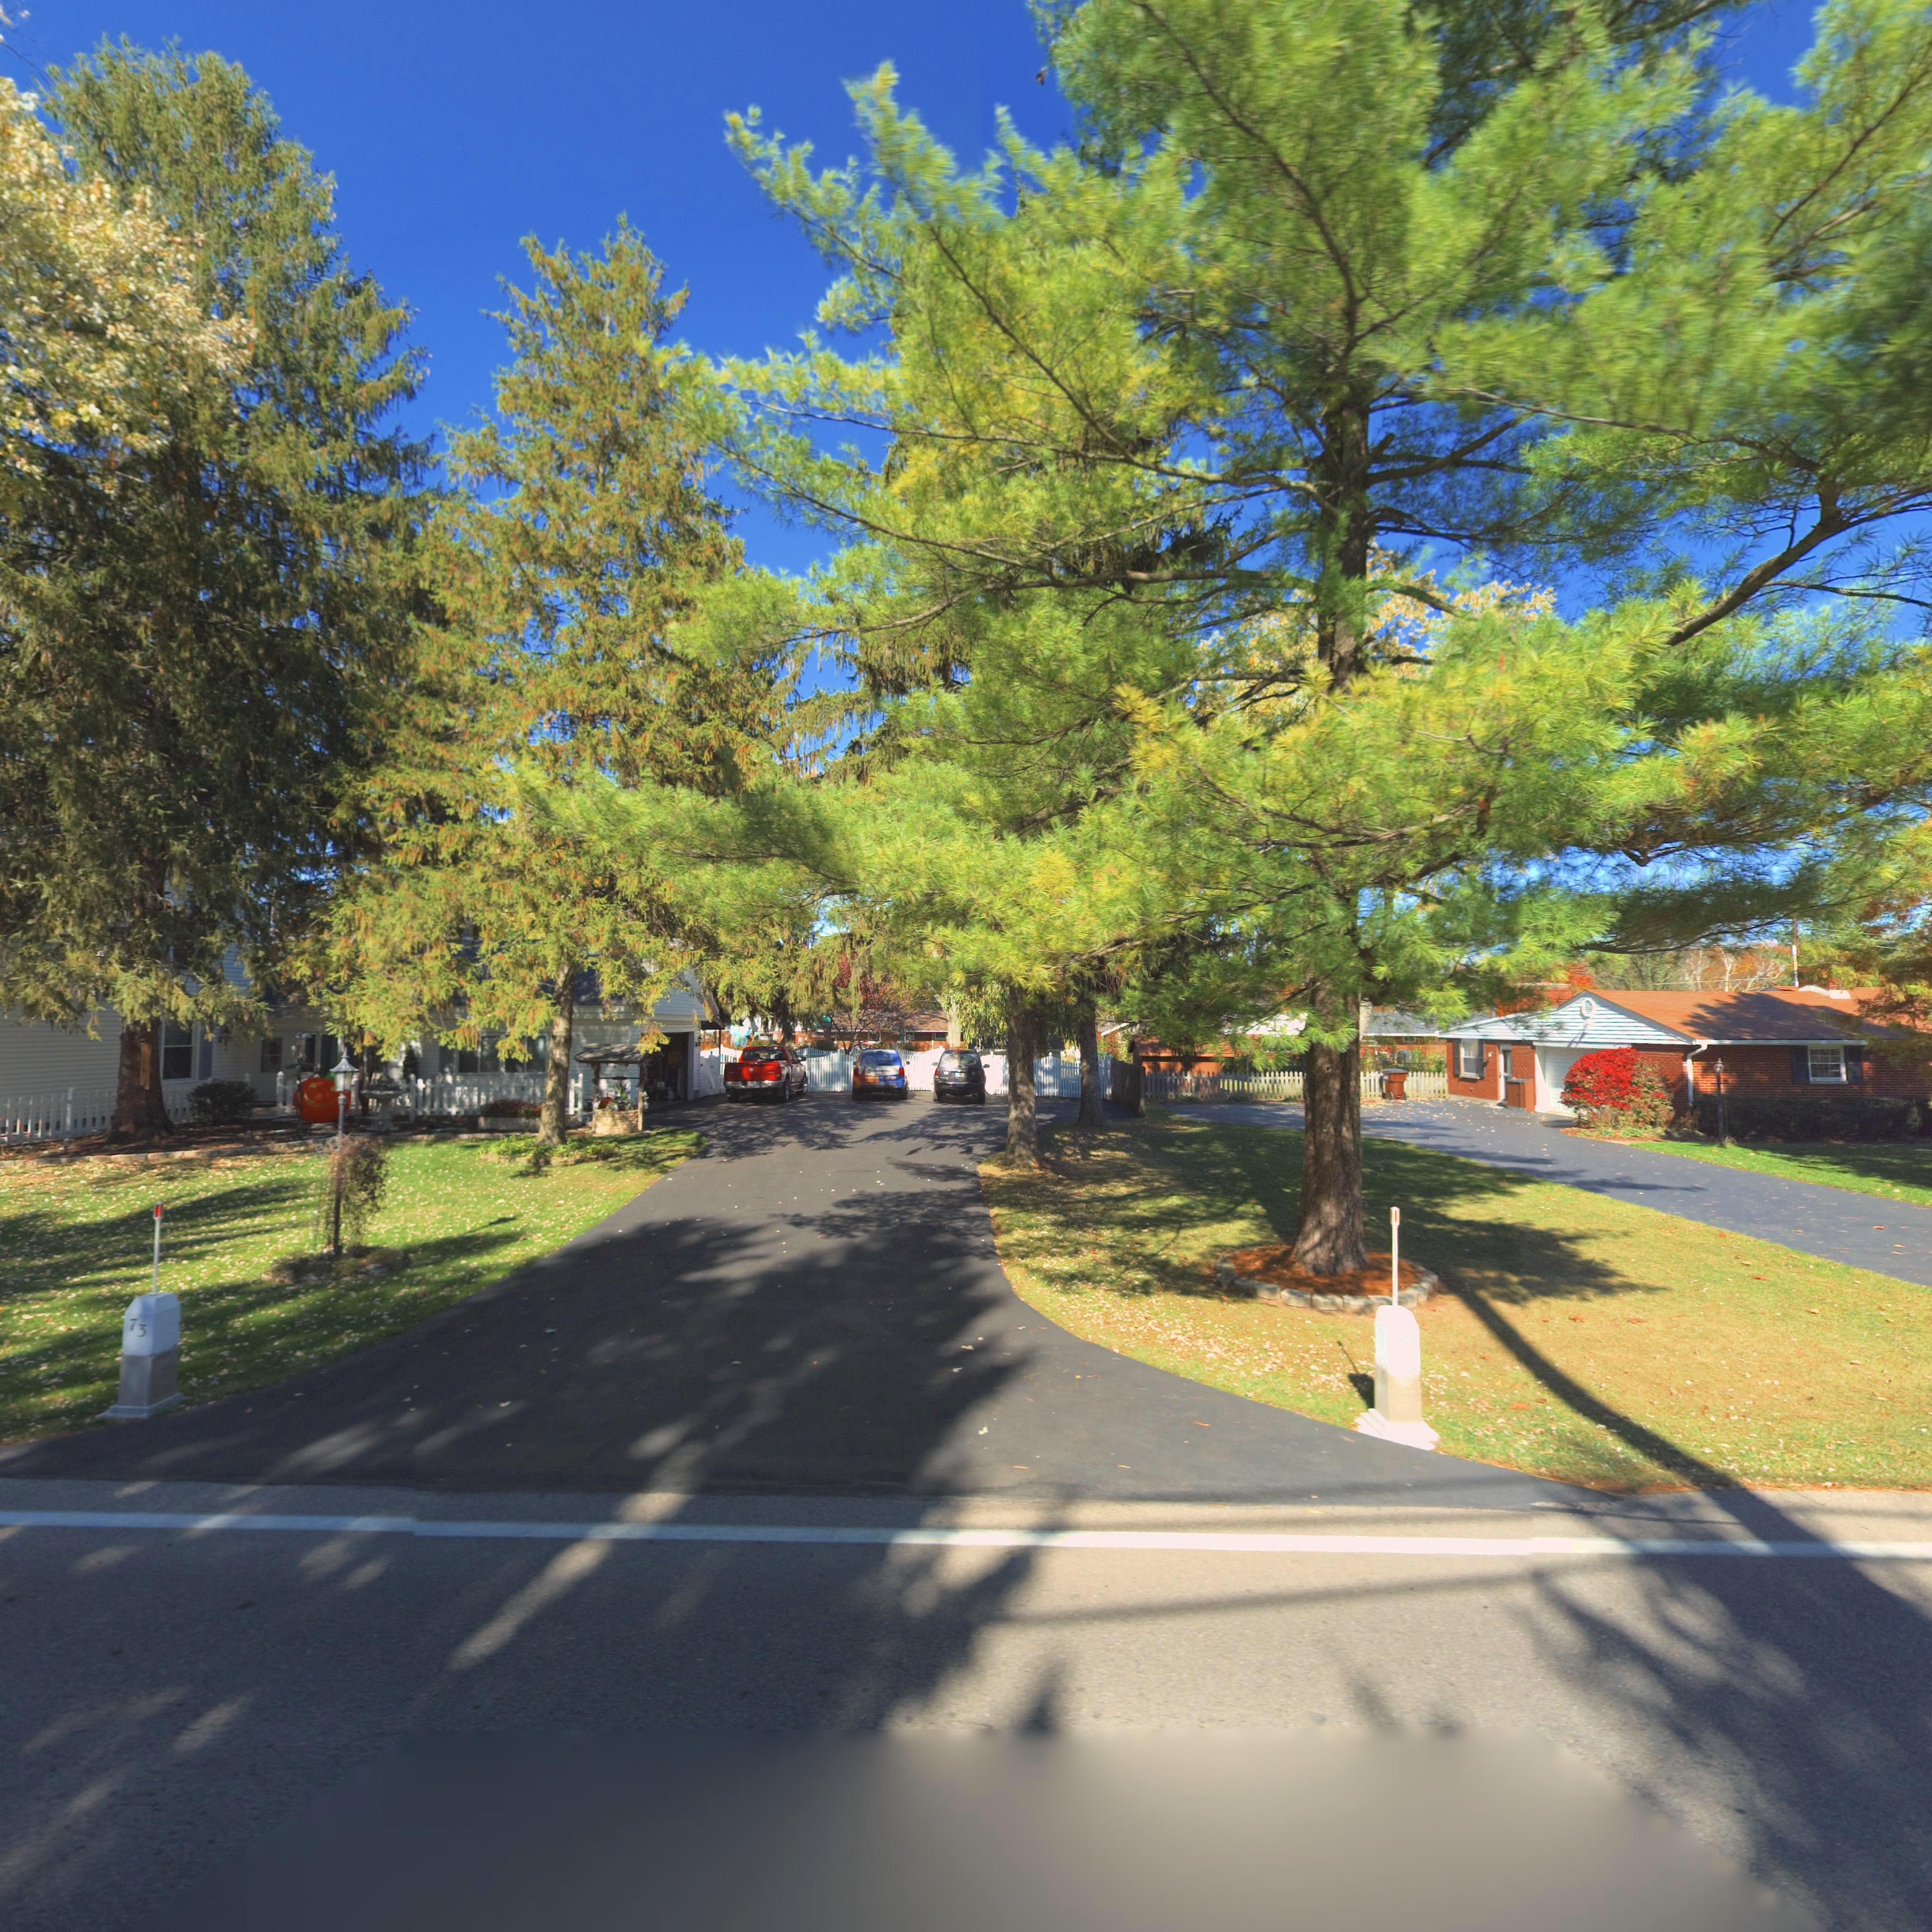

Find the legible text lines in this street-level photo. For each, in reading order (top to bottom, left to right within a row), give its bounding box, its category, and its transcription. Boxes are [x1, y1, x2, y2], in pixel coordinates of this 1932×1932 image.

[129, 1317, 147, 1338] StreetNumber: 73